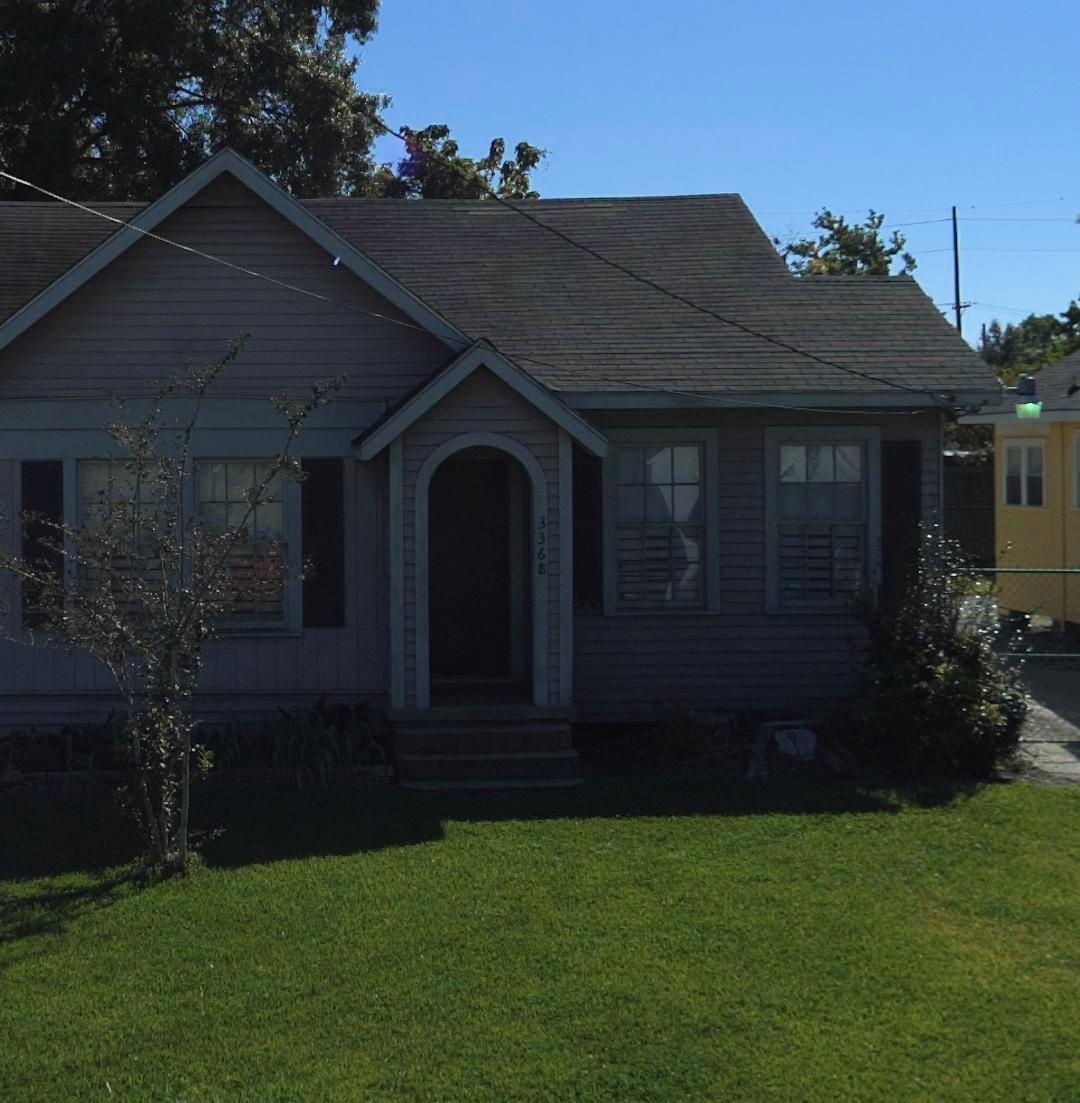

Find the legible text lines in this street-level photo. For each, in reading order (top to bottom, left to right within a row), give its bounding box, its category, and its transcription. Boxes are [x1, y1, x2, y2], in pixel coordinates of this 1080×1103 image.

[536, 514, 548, 577] StreetNumber: 3368